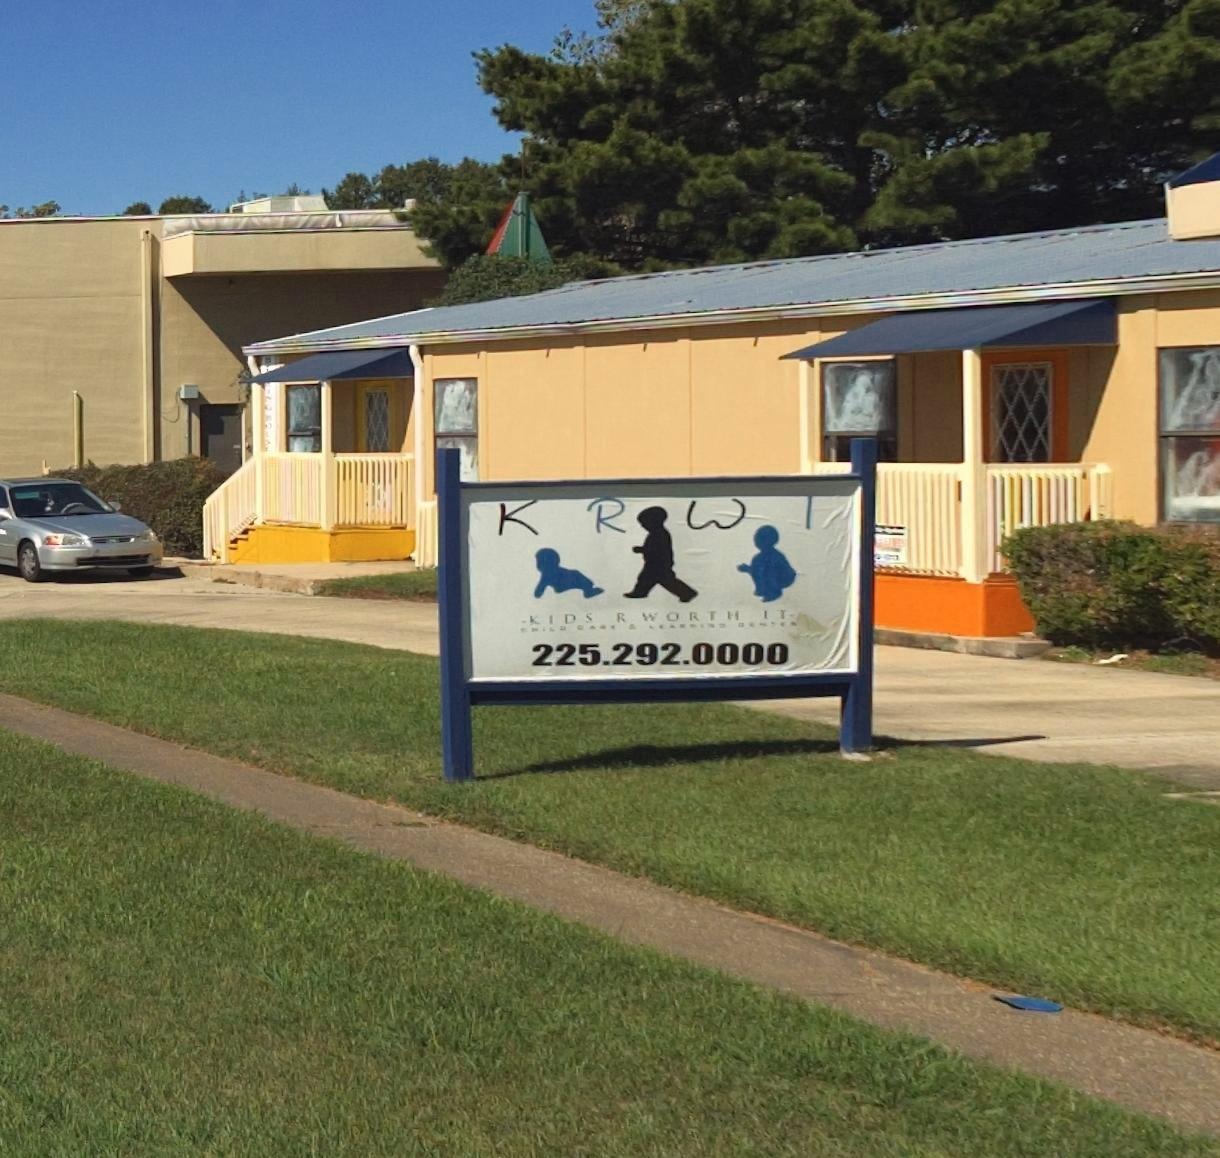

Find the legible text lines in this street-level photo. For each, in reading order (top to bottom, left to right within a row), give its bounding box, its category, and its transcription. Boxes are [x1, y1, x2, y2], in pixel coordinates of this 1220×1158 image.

[495, 491, 817, 540] BusinessName: KRWI
[526, 607, 791, 627] BusinessName: KIDS R WORTH IT
[527, 619, 800, 634] None: CHILD CARE & LEARNING CENTER
[527, 640, 794, 670] None: 225.292.0000